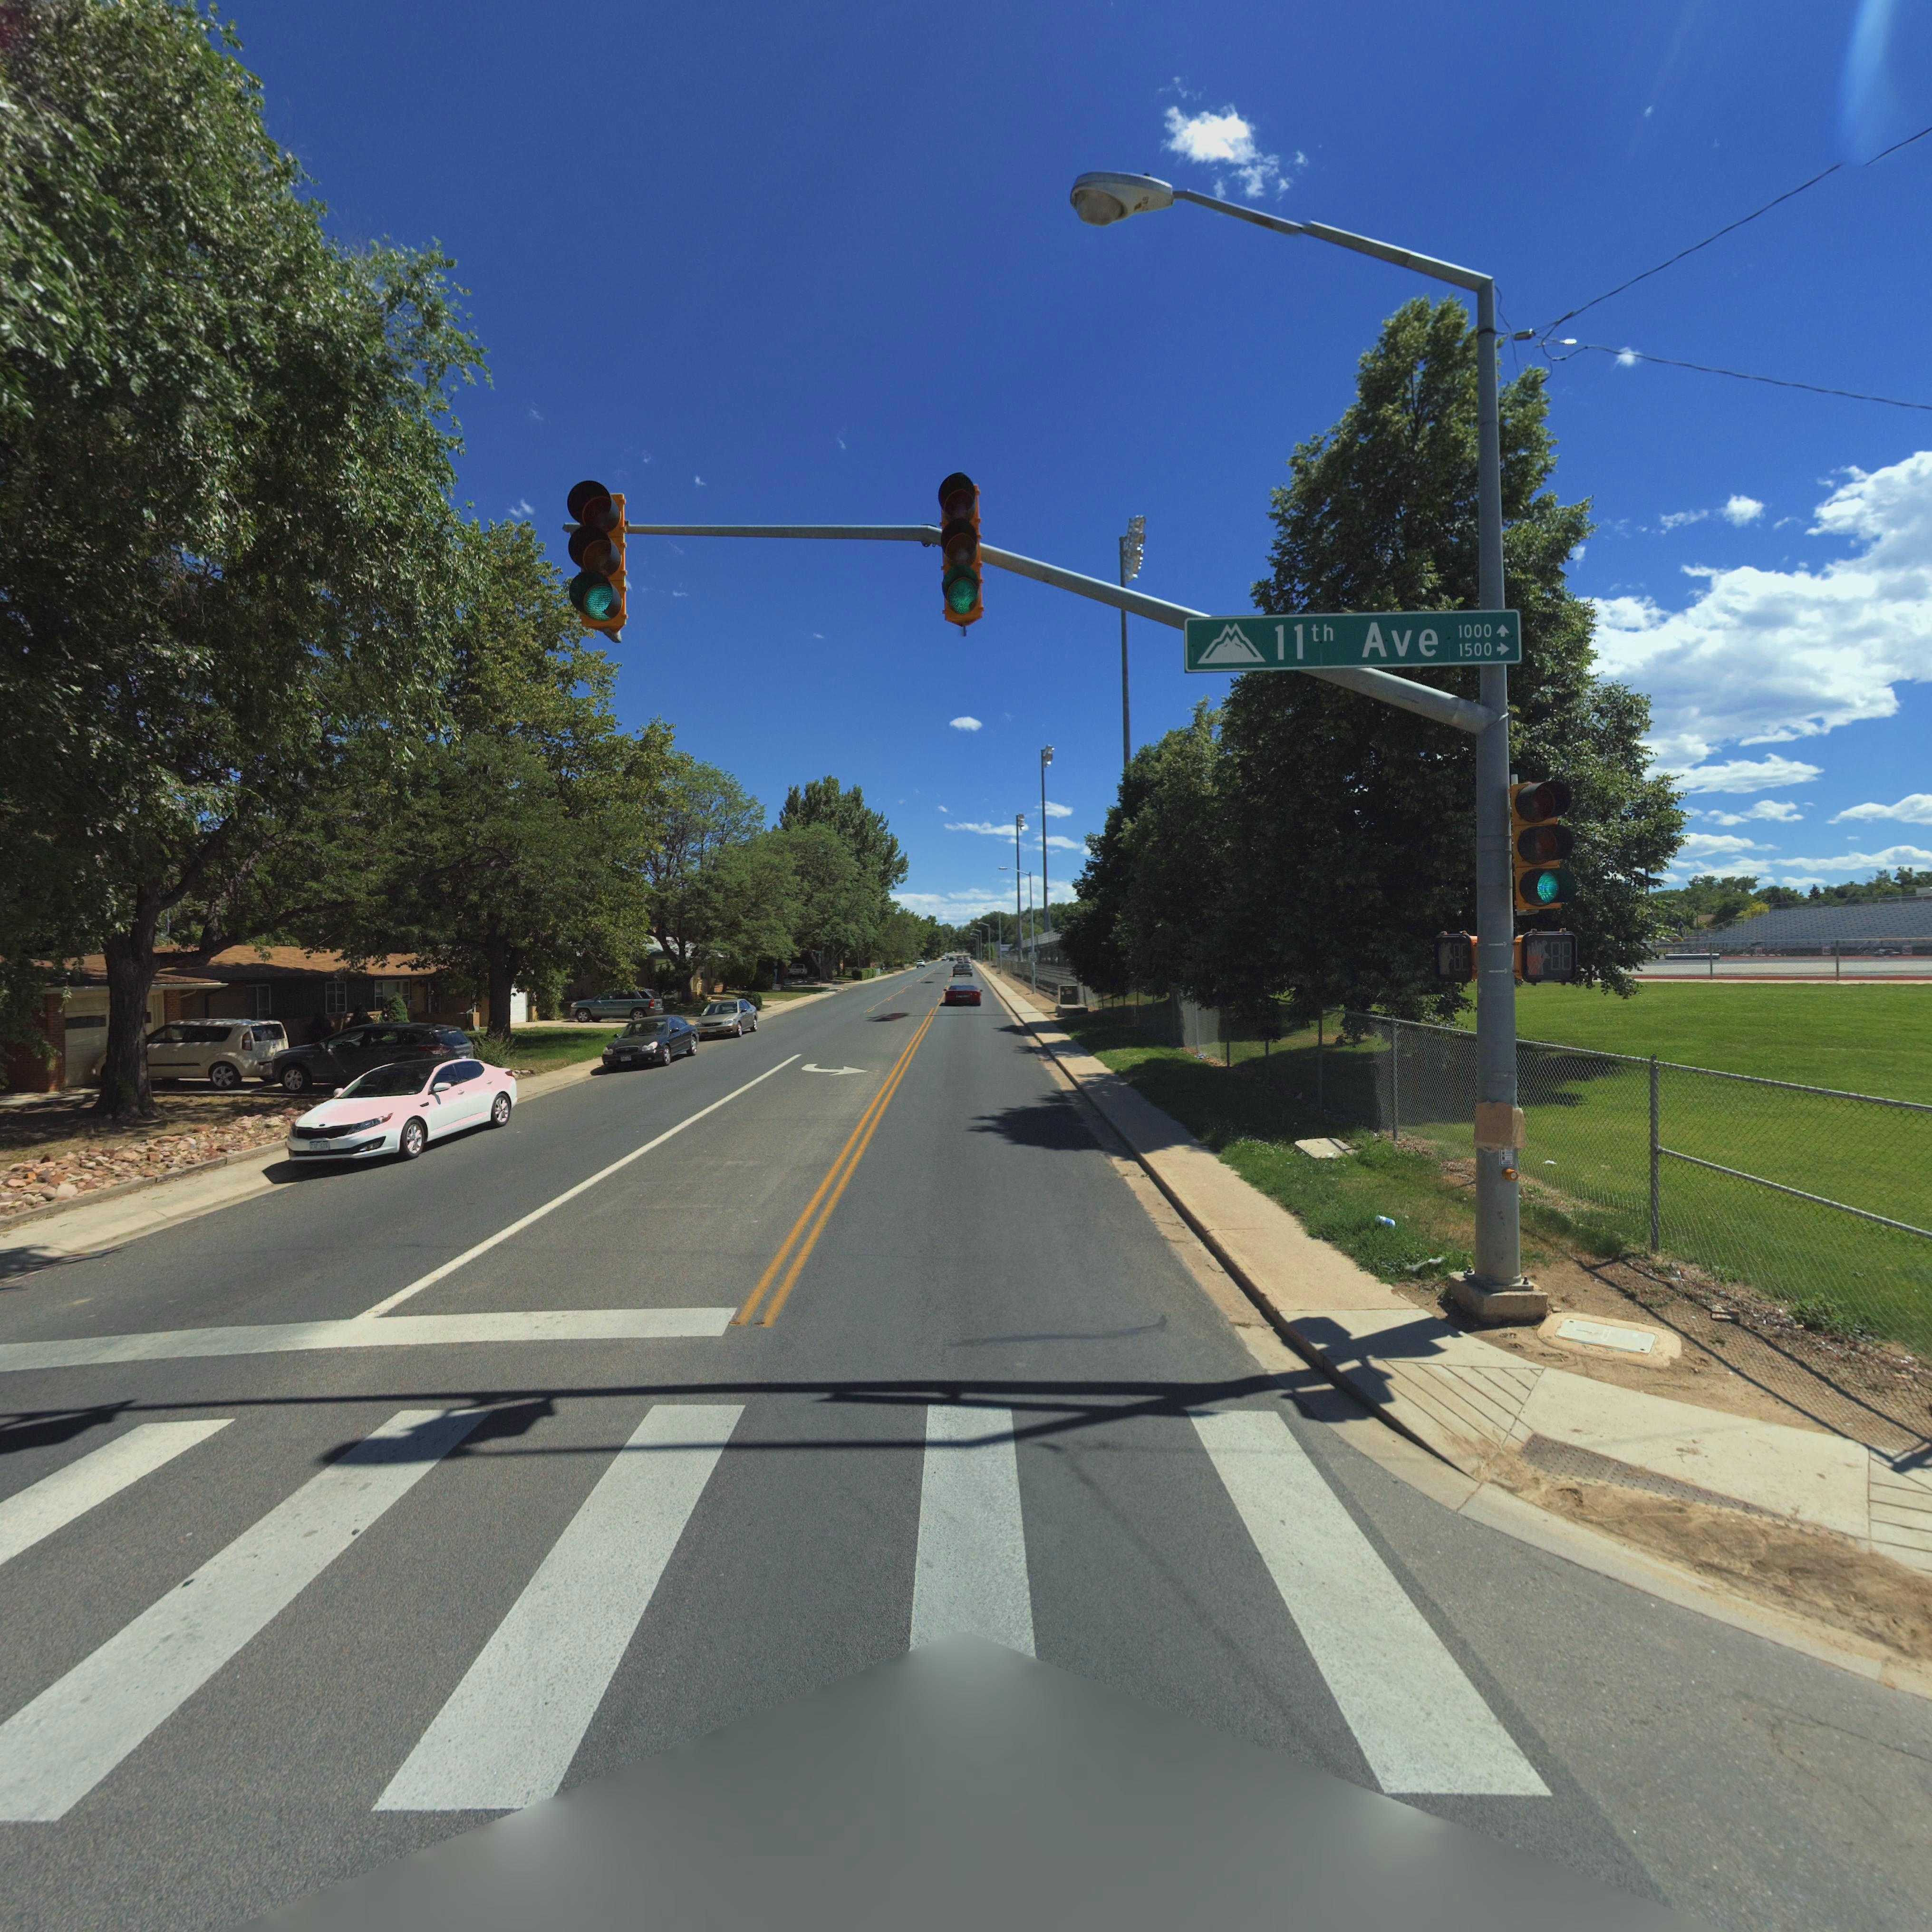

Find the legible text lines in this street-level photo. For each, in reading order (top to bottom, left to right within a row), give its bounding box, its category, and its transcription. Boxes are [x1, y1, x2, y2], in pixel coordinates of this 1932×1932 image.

[1458, 624, 1491, 638] StreetNumberRange: 1000
[1274, 621, 1439, 662] StreetName: 11th Ave
[1459, 641, 1510, 657] StreetNumberRange: 1500 ->